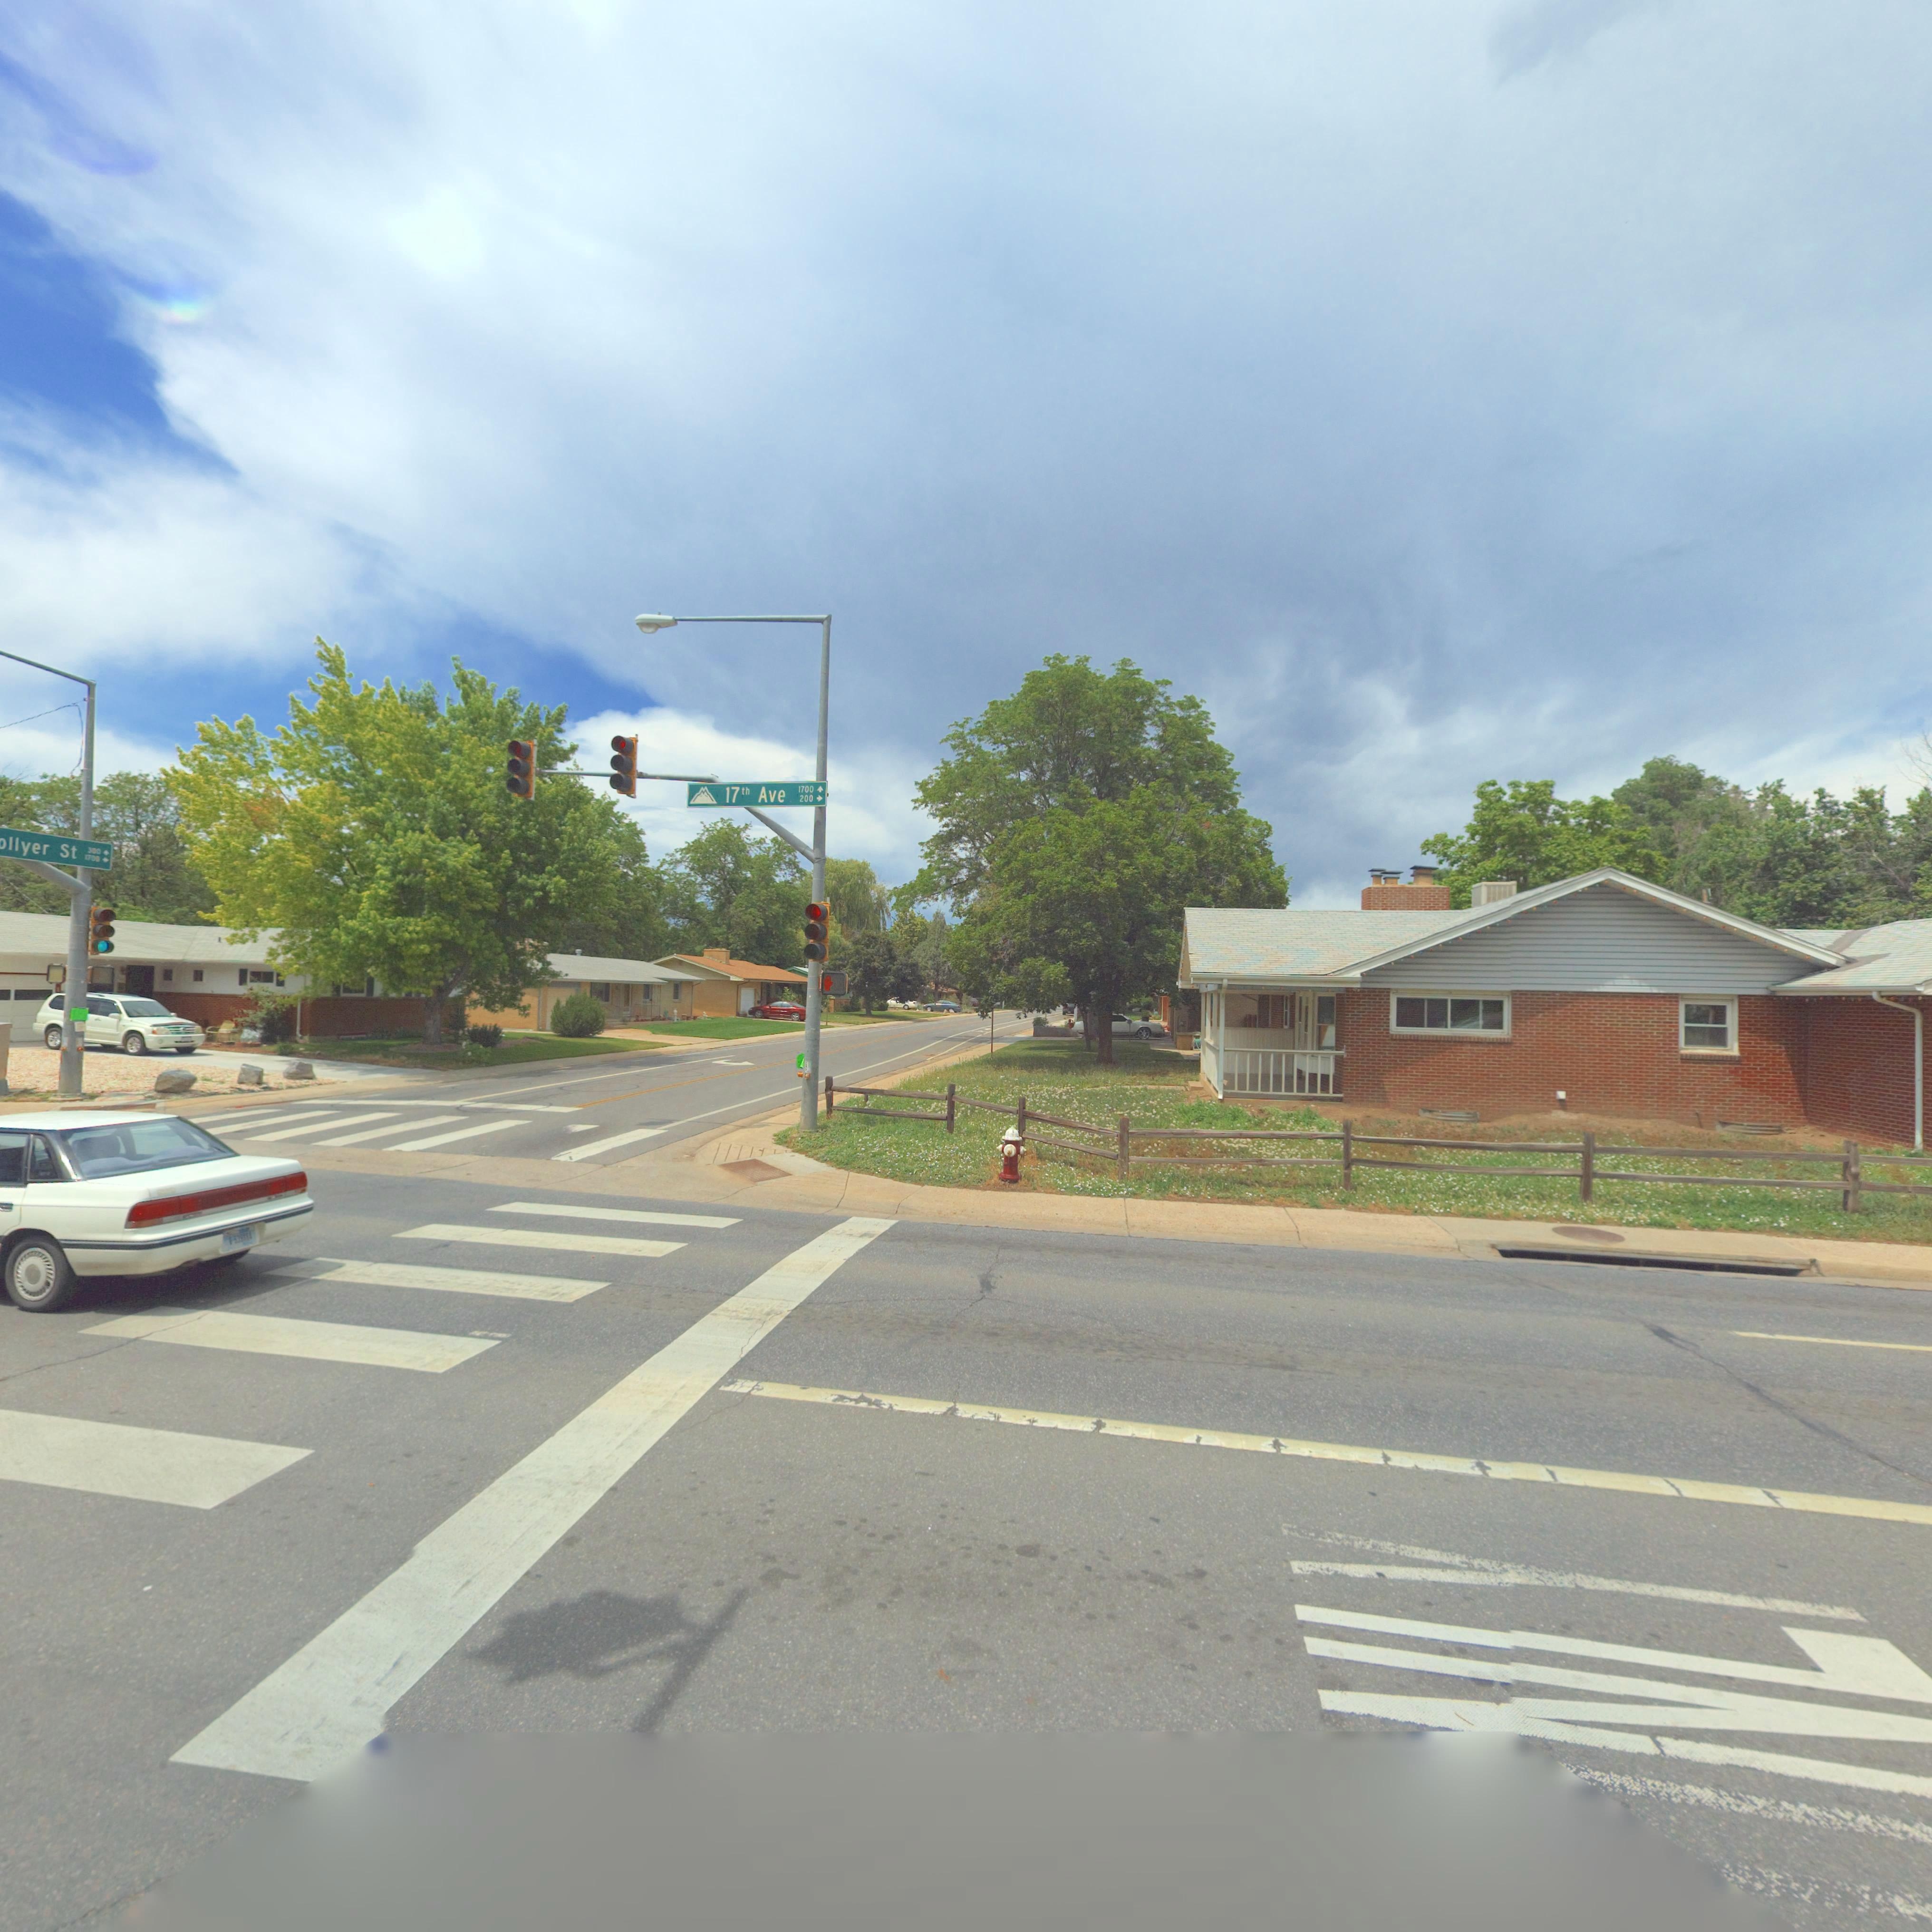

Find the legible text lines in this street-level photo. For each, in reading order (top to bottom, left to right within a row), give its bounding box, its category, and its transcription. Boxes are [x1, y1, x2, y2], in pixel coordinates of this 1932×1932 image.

[798, 785, 824, 793] StreetNumberRange: 1700->
[725, 785, 786, 803] StreetName: 17th Ave
[799, 794, 823, 802] StreetNumberRange: 200->
[8, 835, 78, 860] StreetName: llyer St
[87, 846, 110, 856] StreetNumberRange: 300->
[84, 854, 109, 863] StreetNumberRange: 1*00->